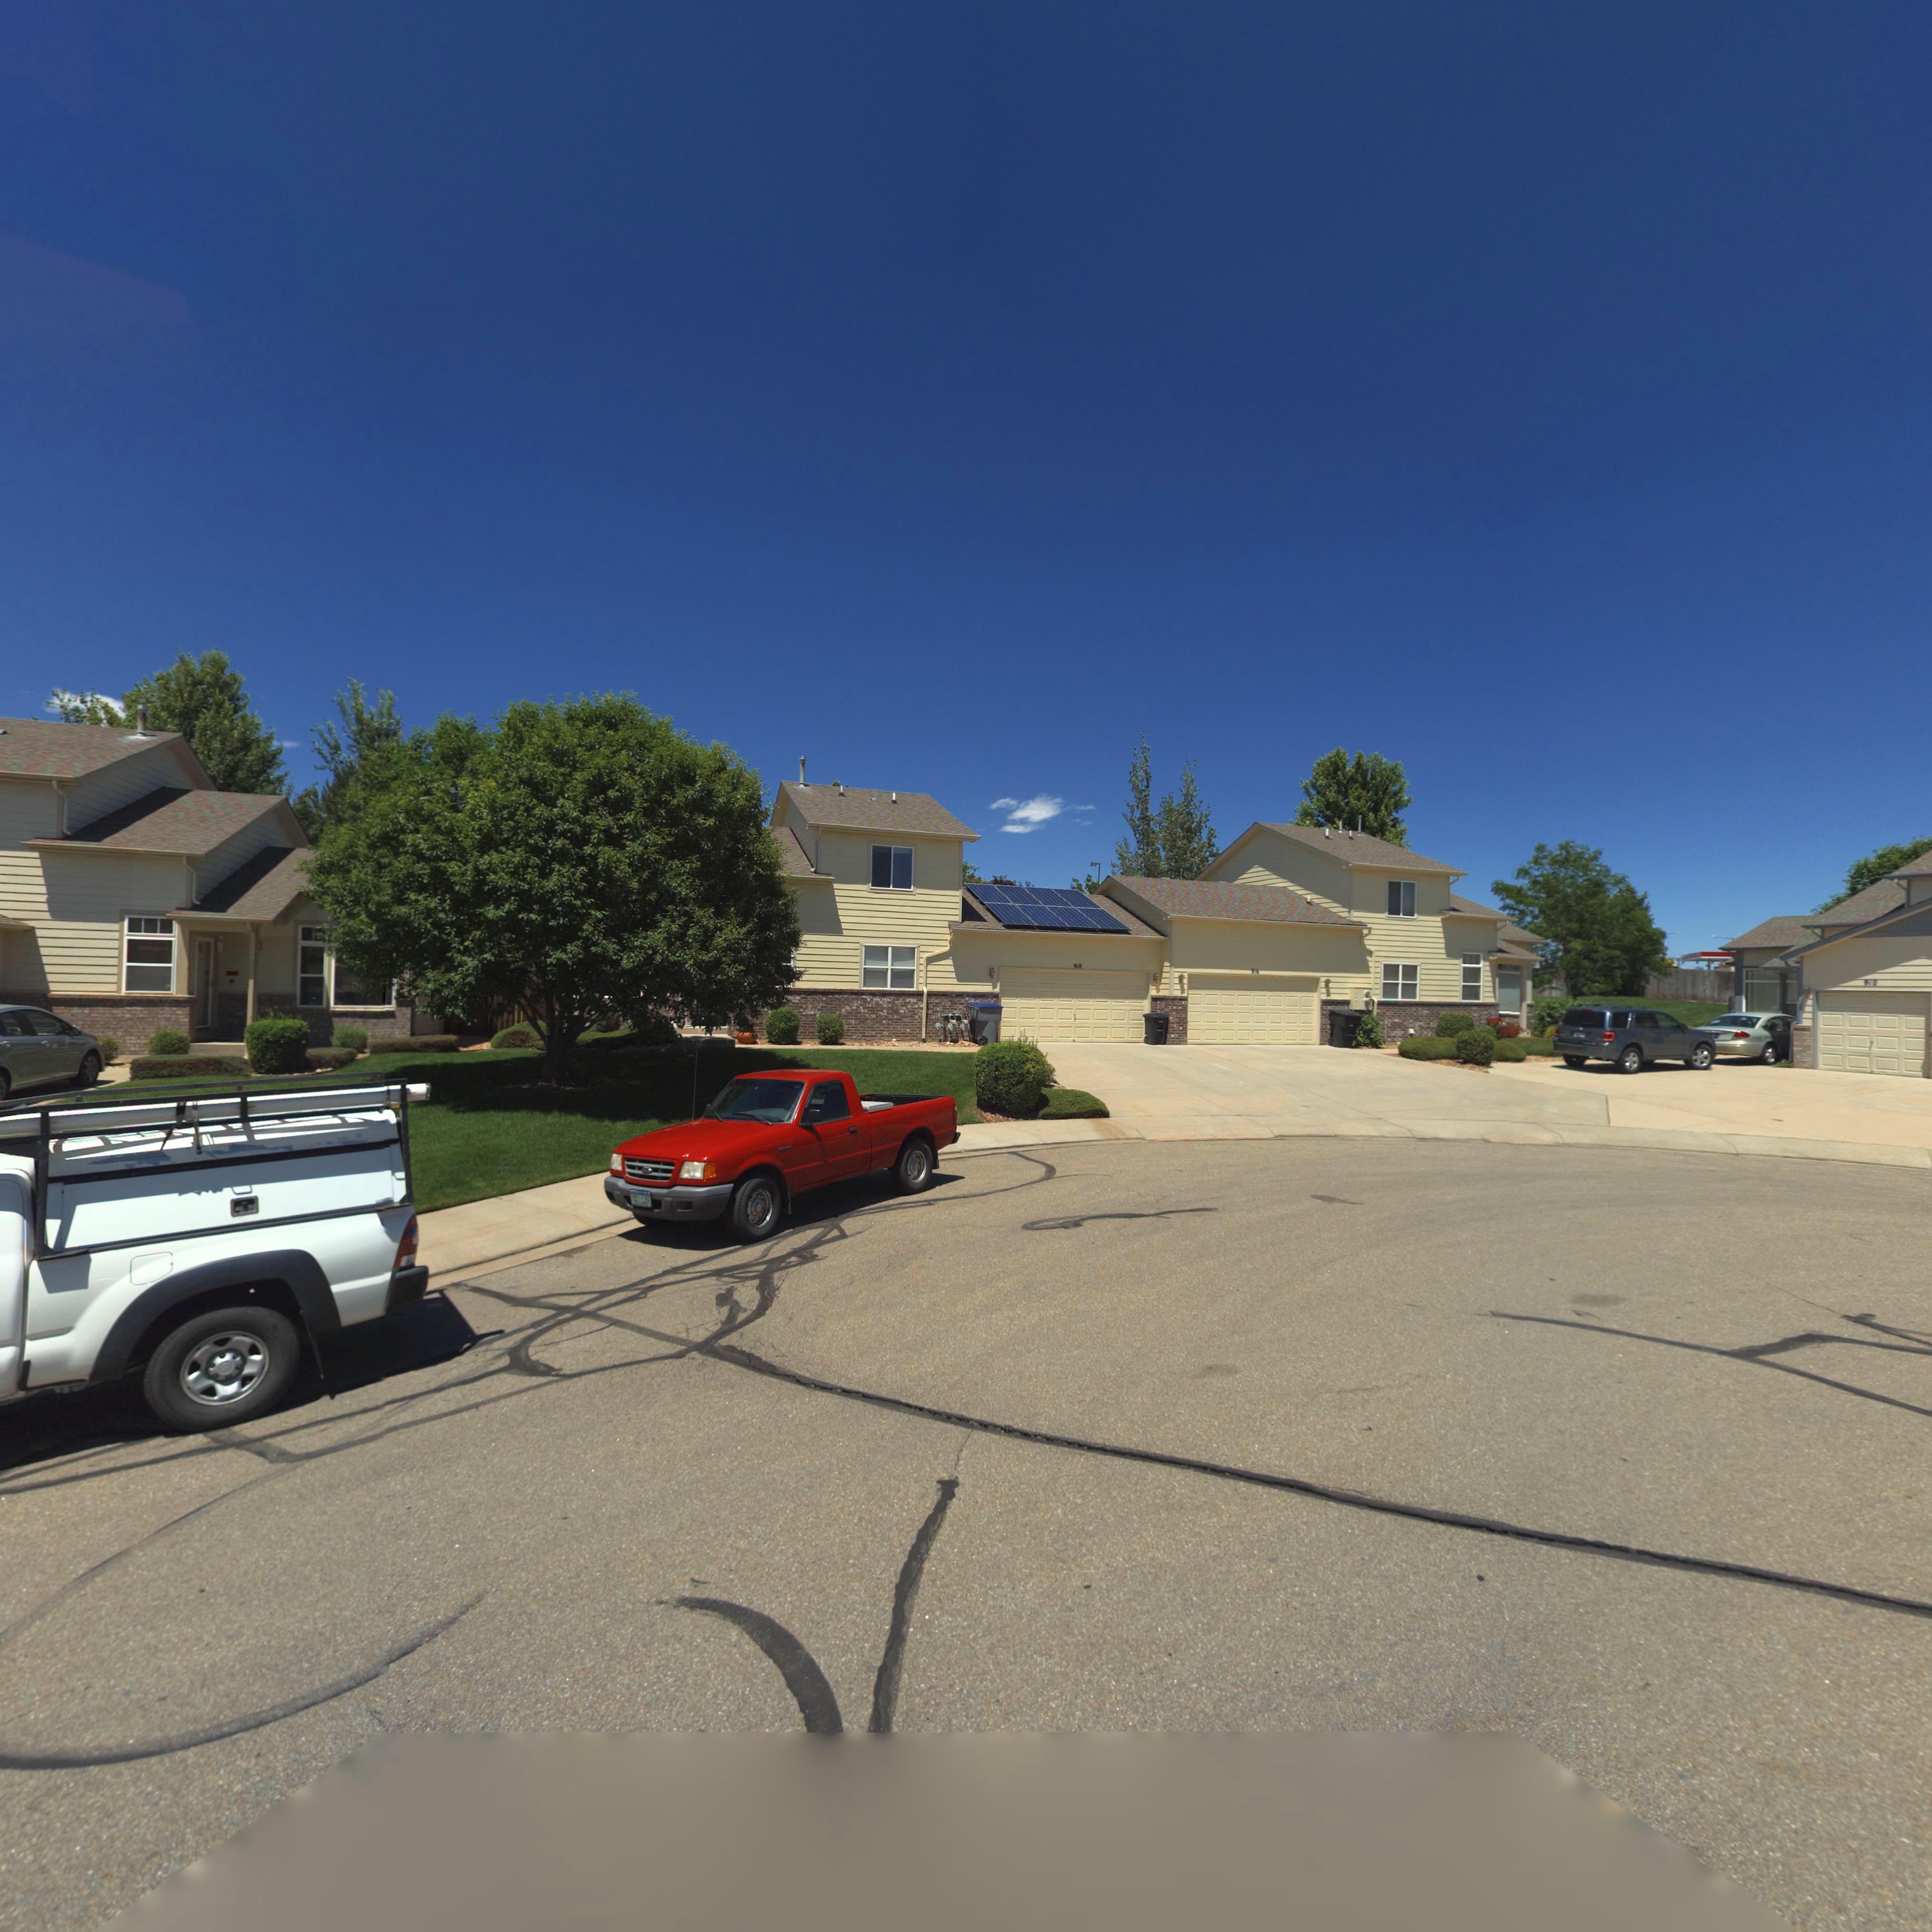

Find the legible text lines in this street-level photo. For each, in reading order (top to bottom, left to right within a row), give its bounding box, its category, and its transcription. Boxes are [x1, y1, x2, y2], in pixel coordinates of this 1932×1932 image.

[1073, 963, 1082, 969] StreetNumber: 918
[1251, 967, 1259, 974] StreetNumber: 9**
[1864, 979, 1878, 986] StreetNumber: *10